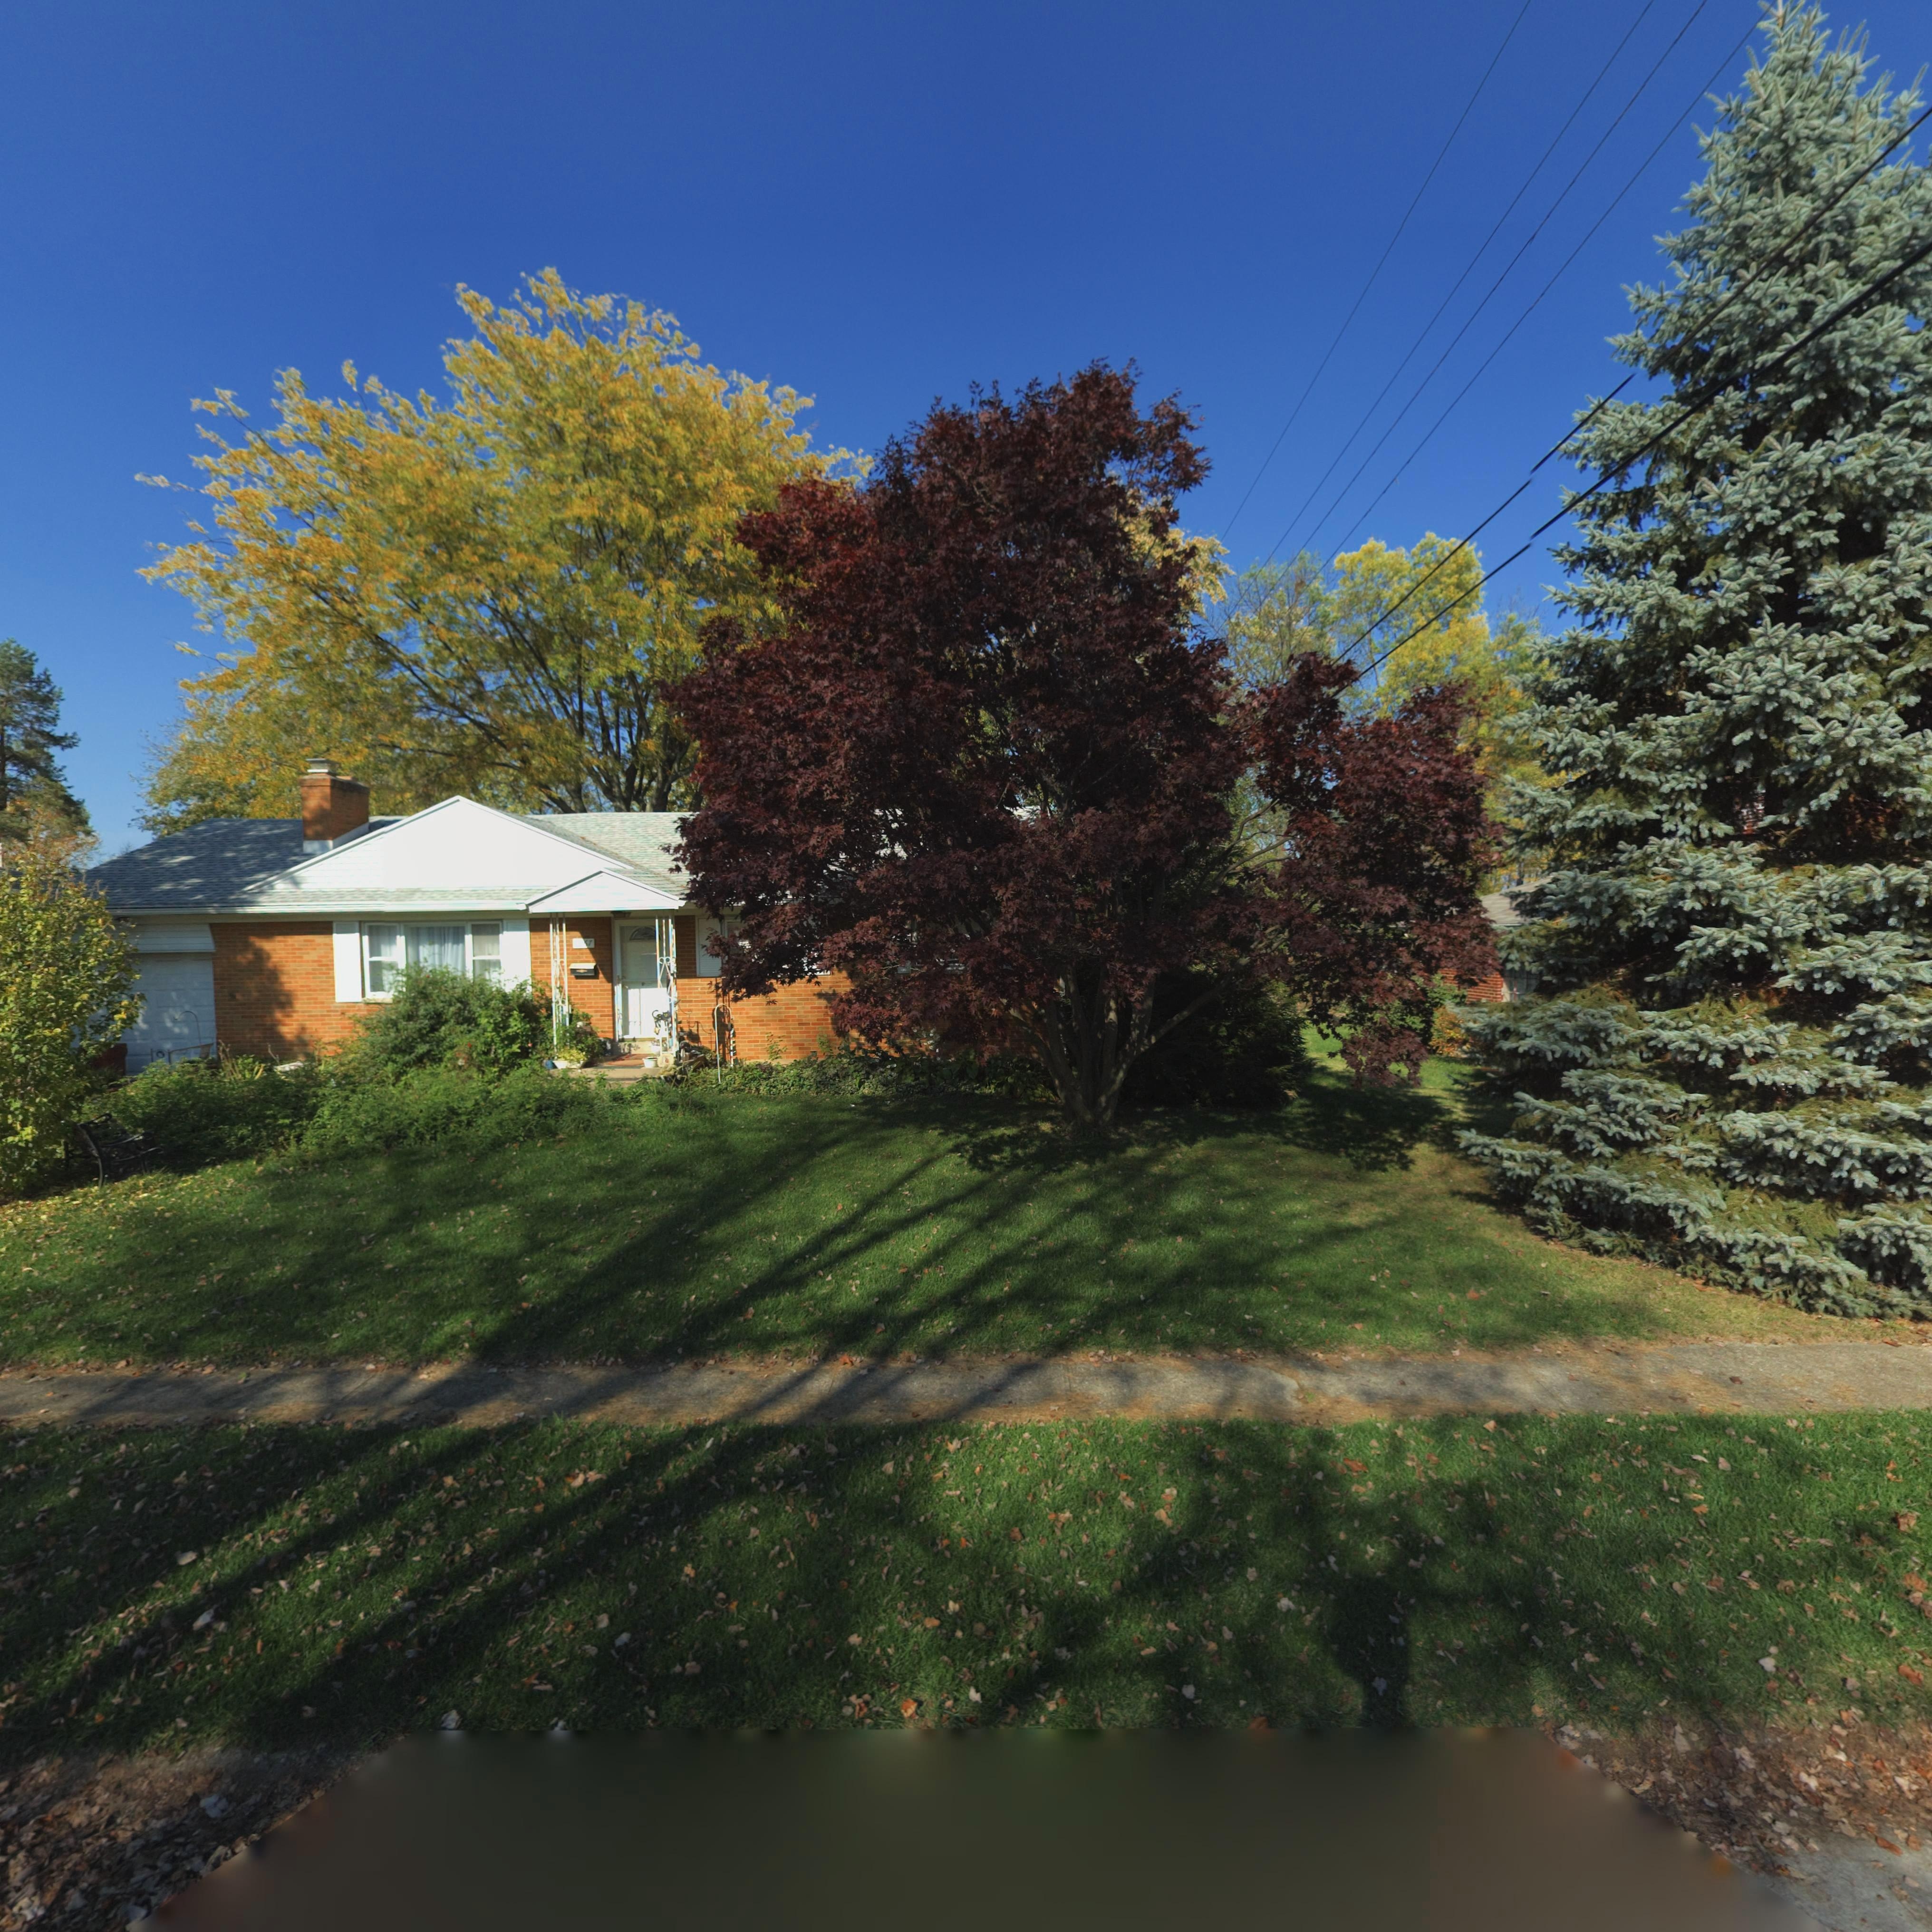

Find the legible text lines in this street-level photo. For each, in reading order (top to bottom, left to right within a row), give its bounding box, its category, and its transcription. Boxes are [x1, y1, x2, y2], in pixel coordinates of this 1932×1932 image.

[575, 939, 593, 947] StreetNumber: 1057